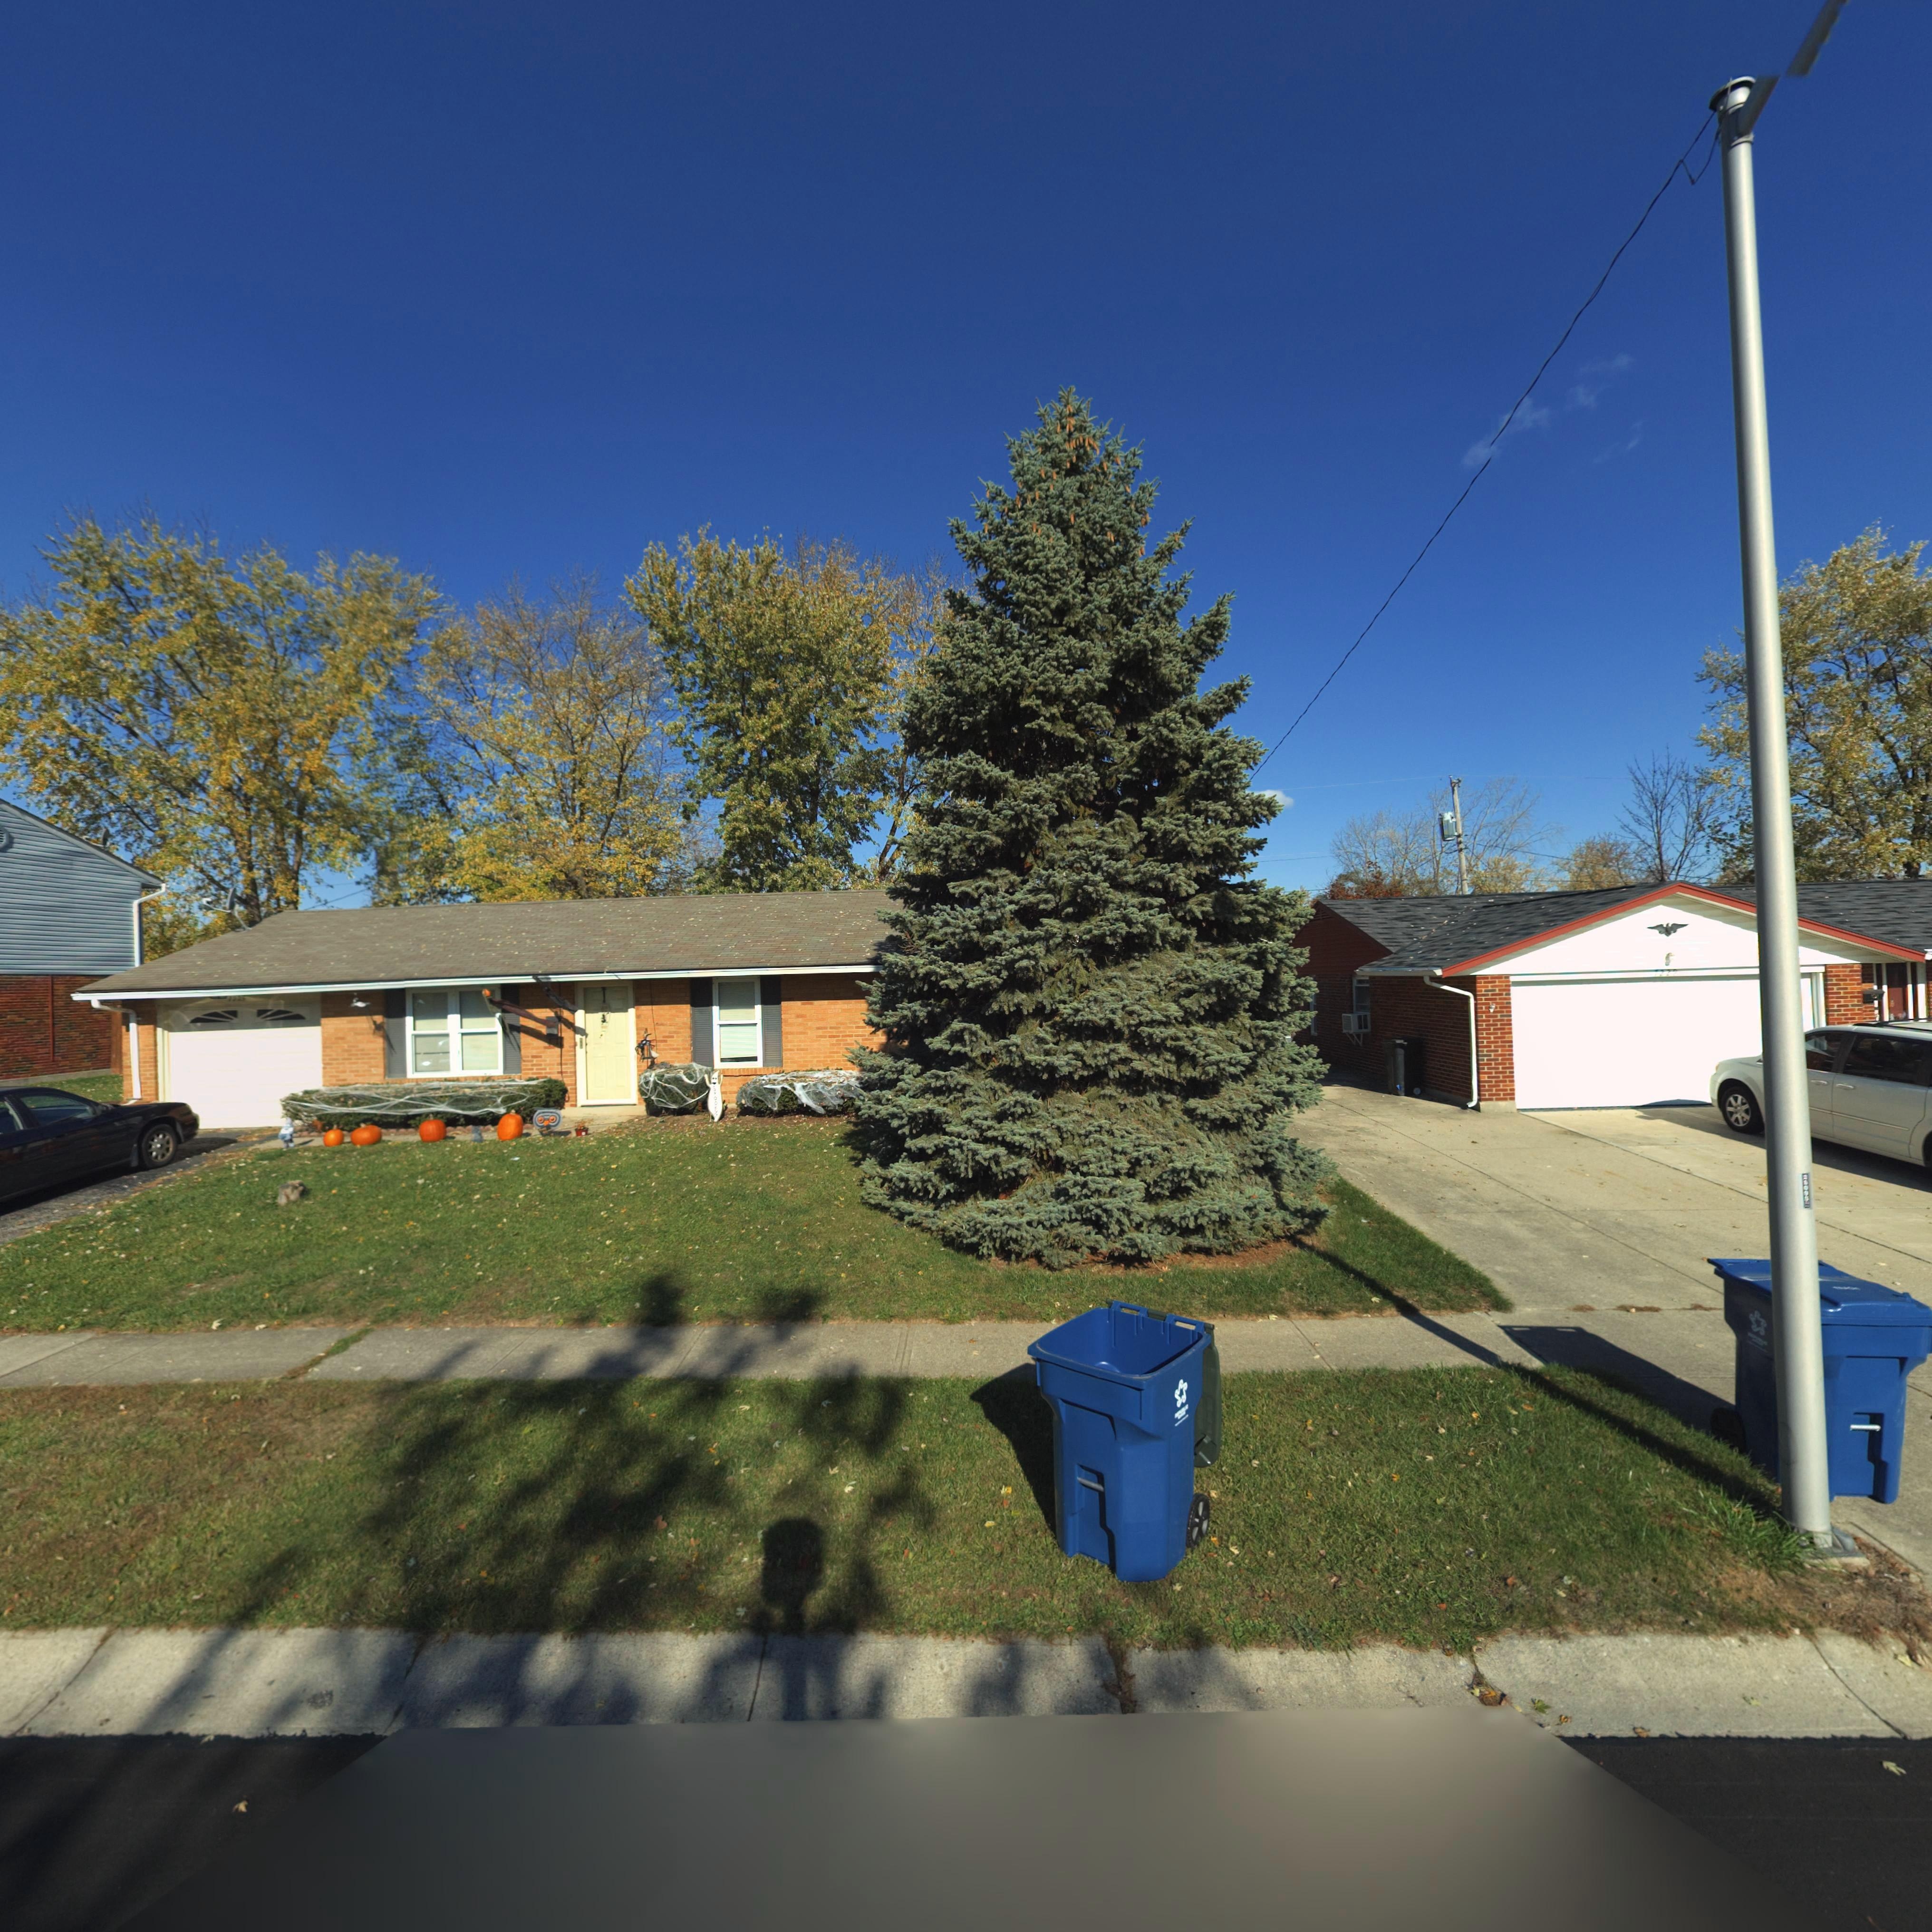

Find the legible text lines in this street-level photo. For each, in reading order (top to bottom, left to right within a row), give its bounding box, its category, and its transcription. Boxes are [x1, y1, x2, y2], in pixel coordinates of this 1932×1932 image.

[1653, 968, 1679, 978] StreetNumber: **2*